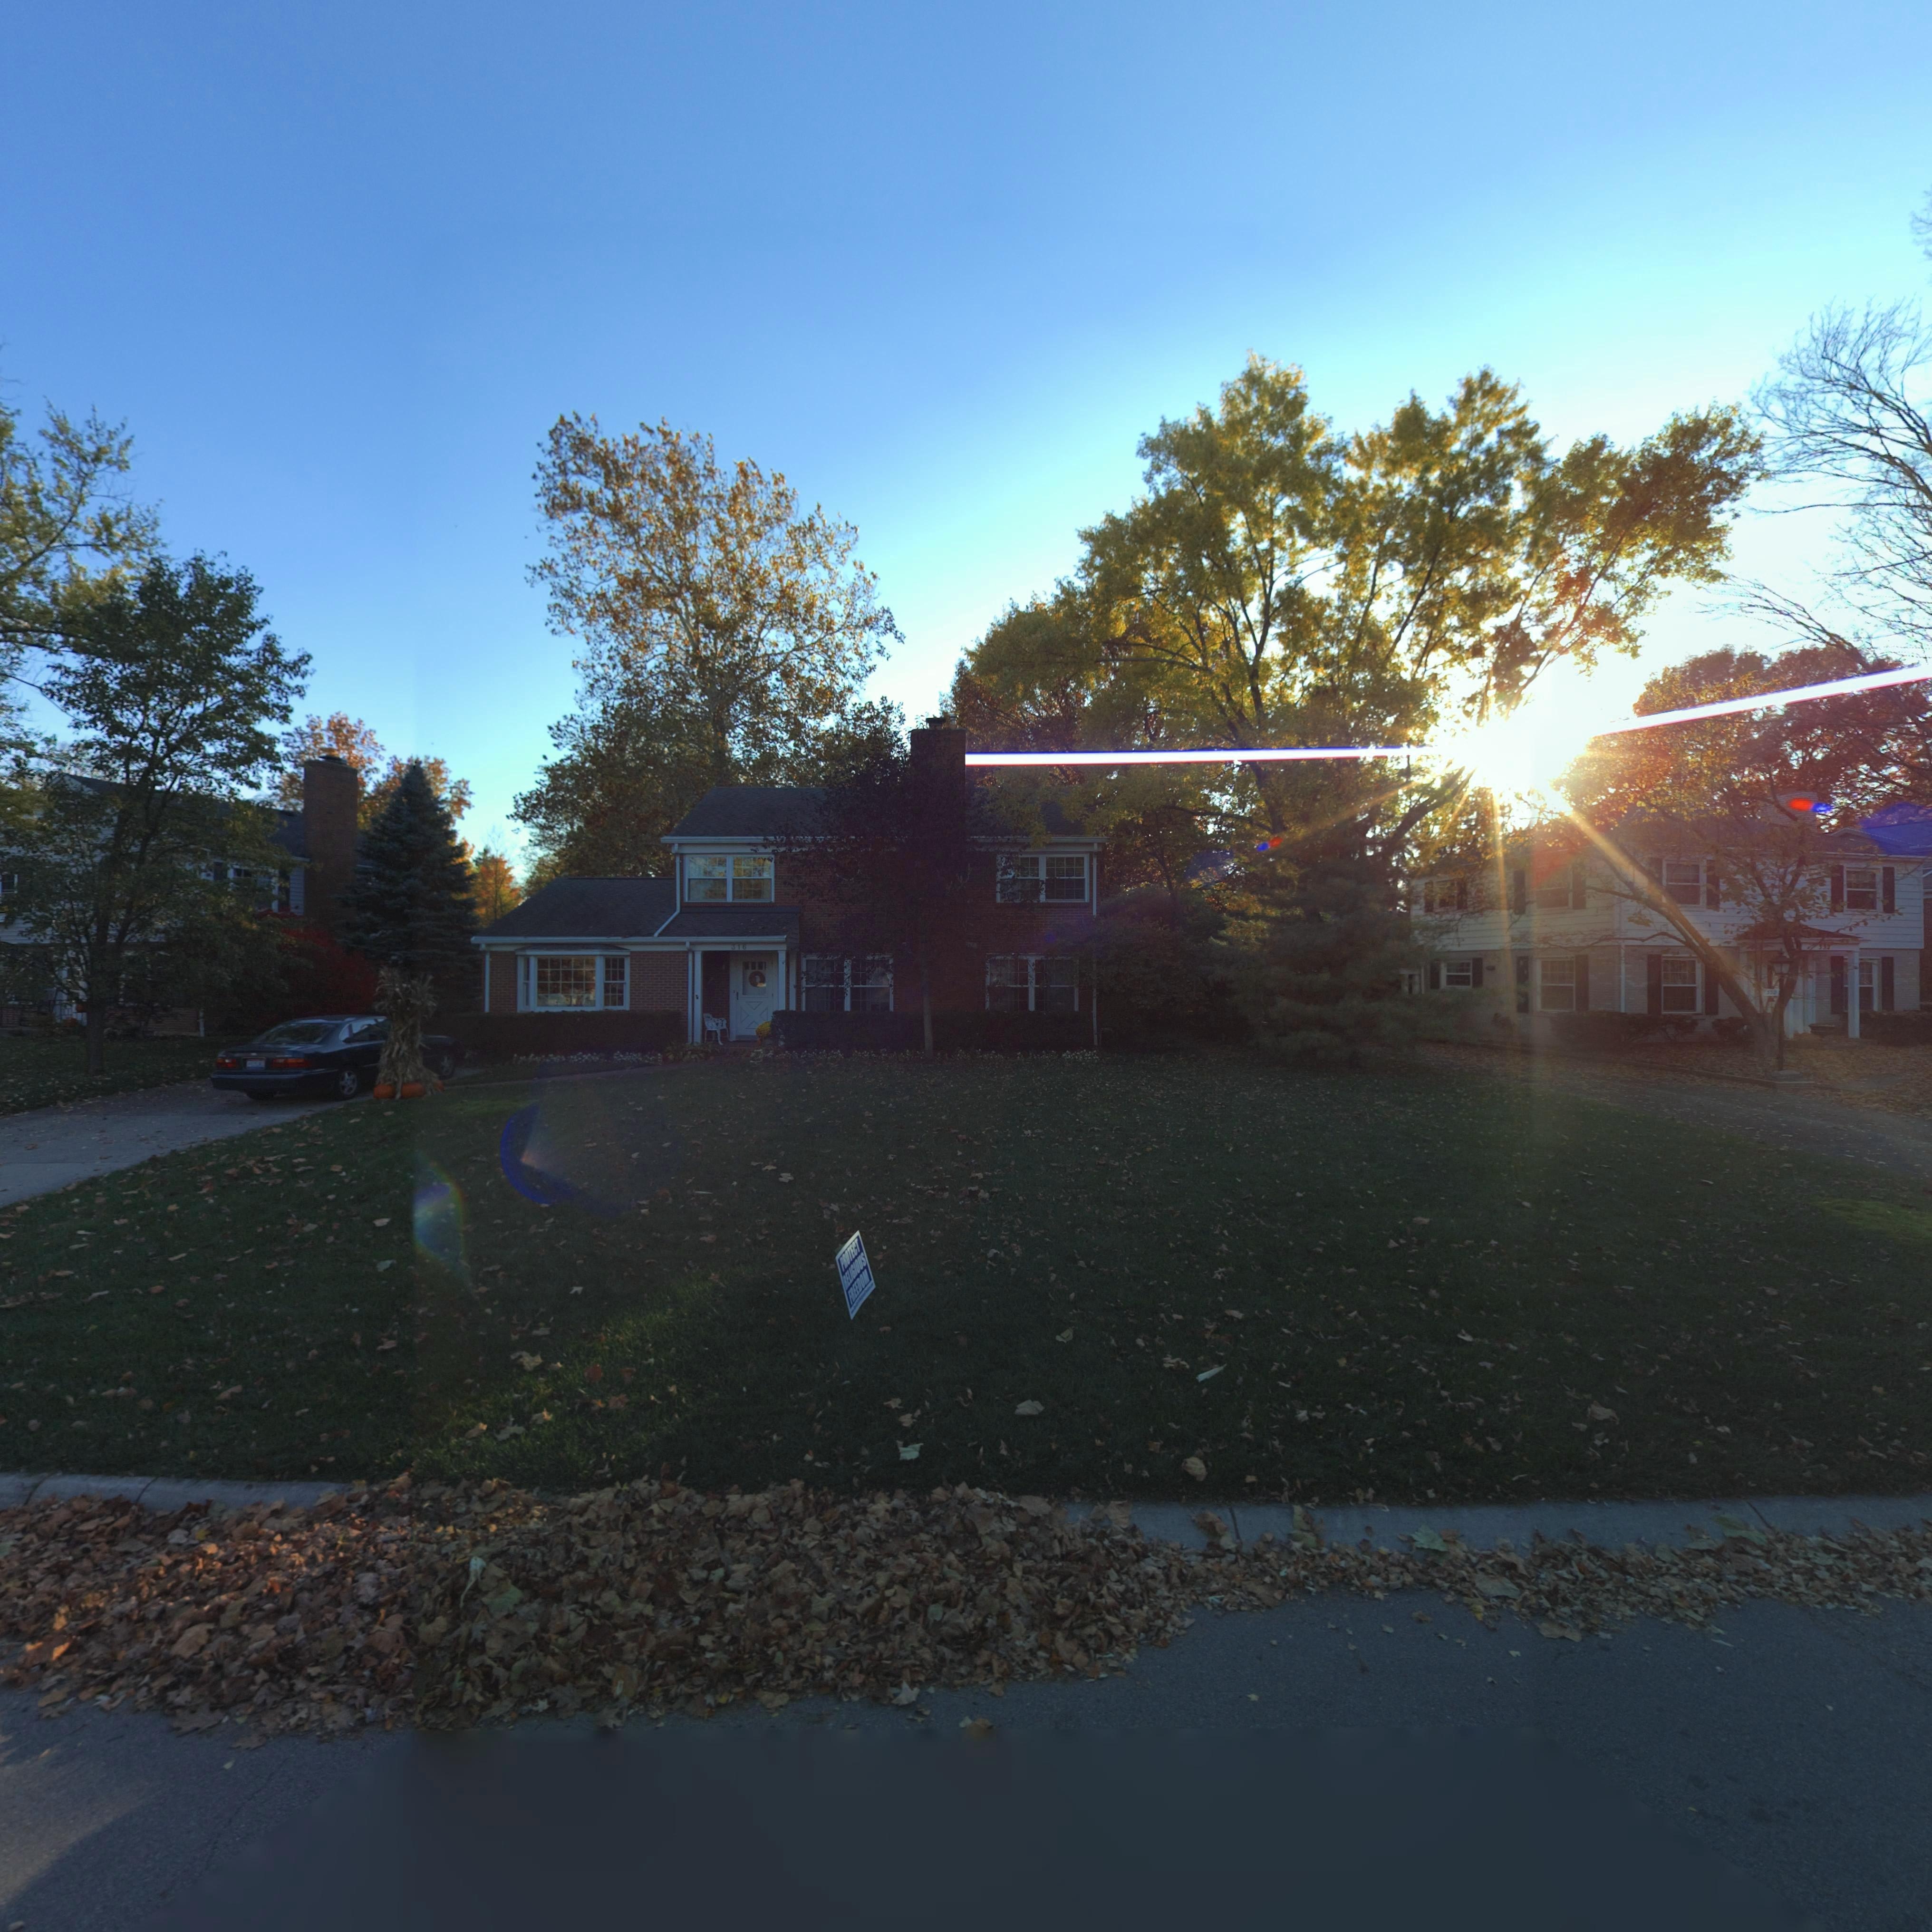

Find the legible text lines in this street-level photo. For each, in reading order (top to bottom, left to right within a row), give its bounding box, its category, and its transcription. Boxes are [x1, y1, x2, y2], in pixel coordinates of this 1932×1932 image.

[731, 943, 747, 951] StreetNumber: 316